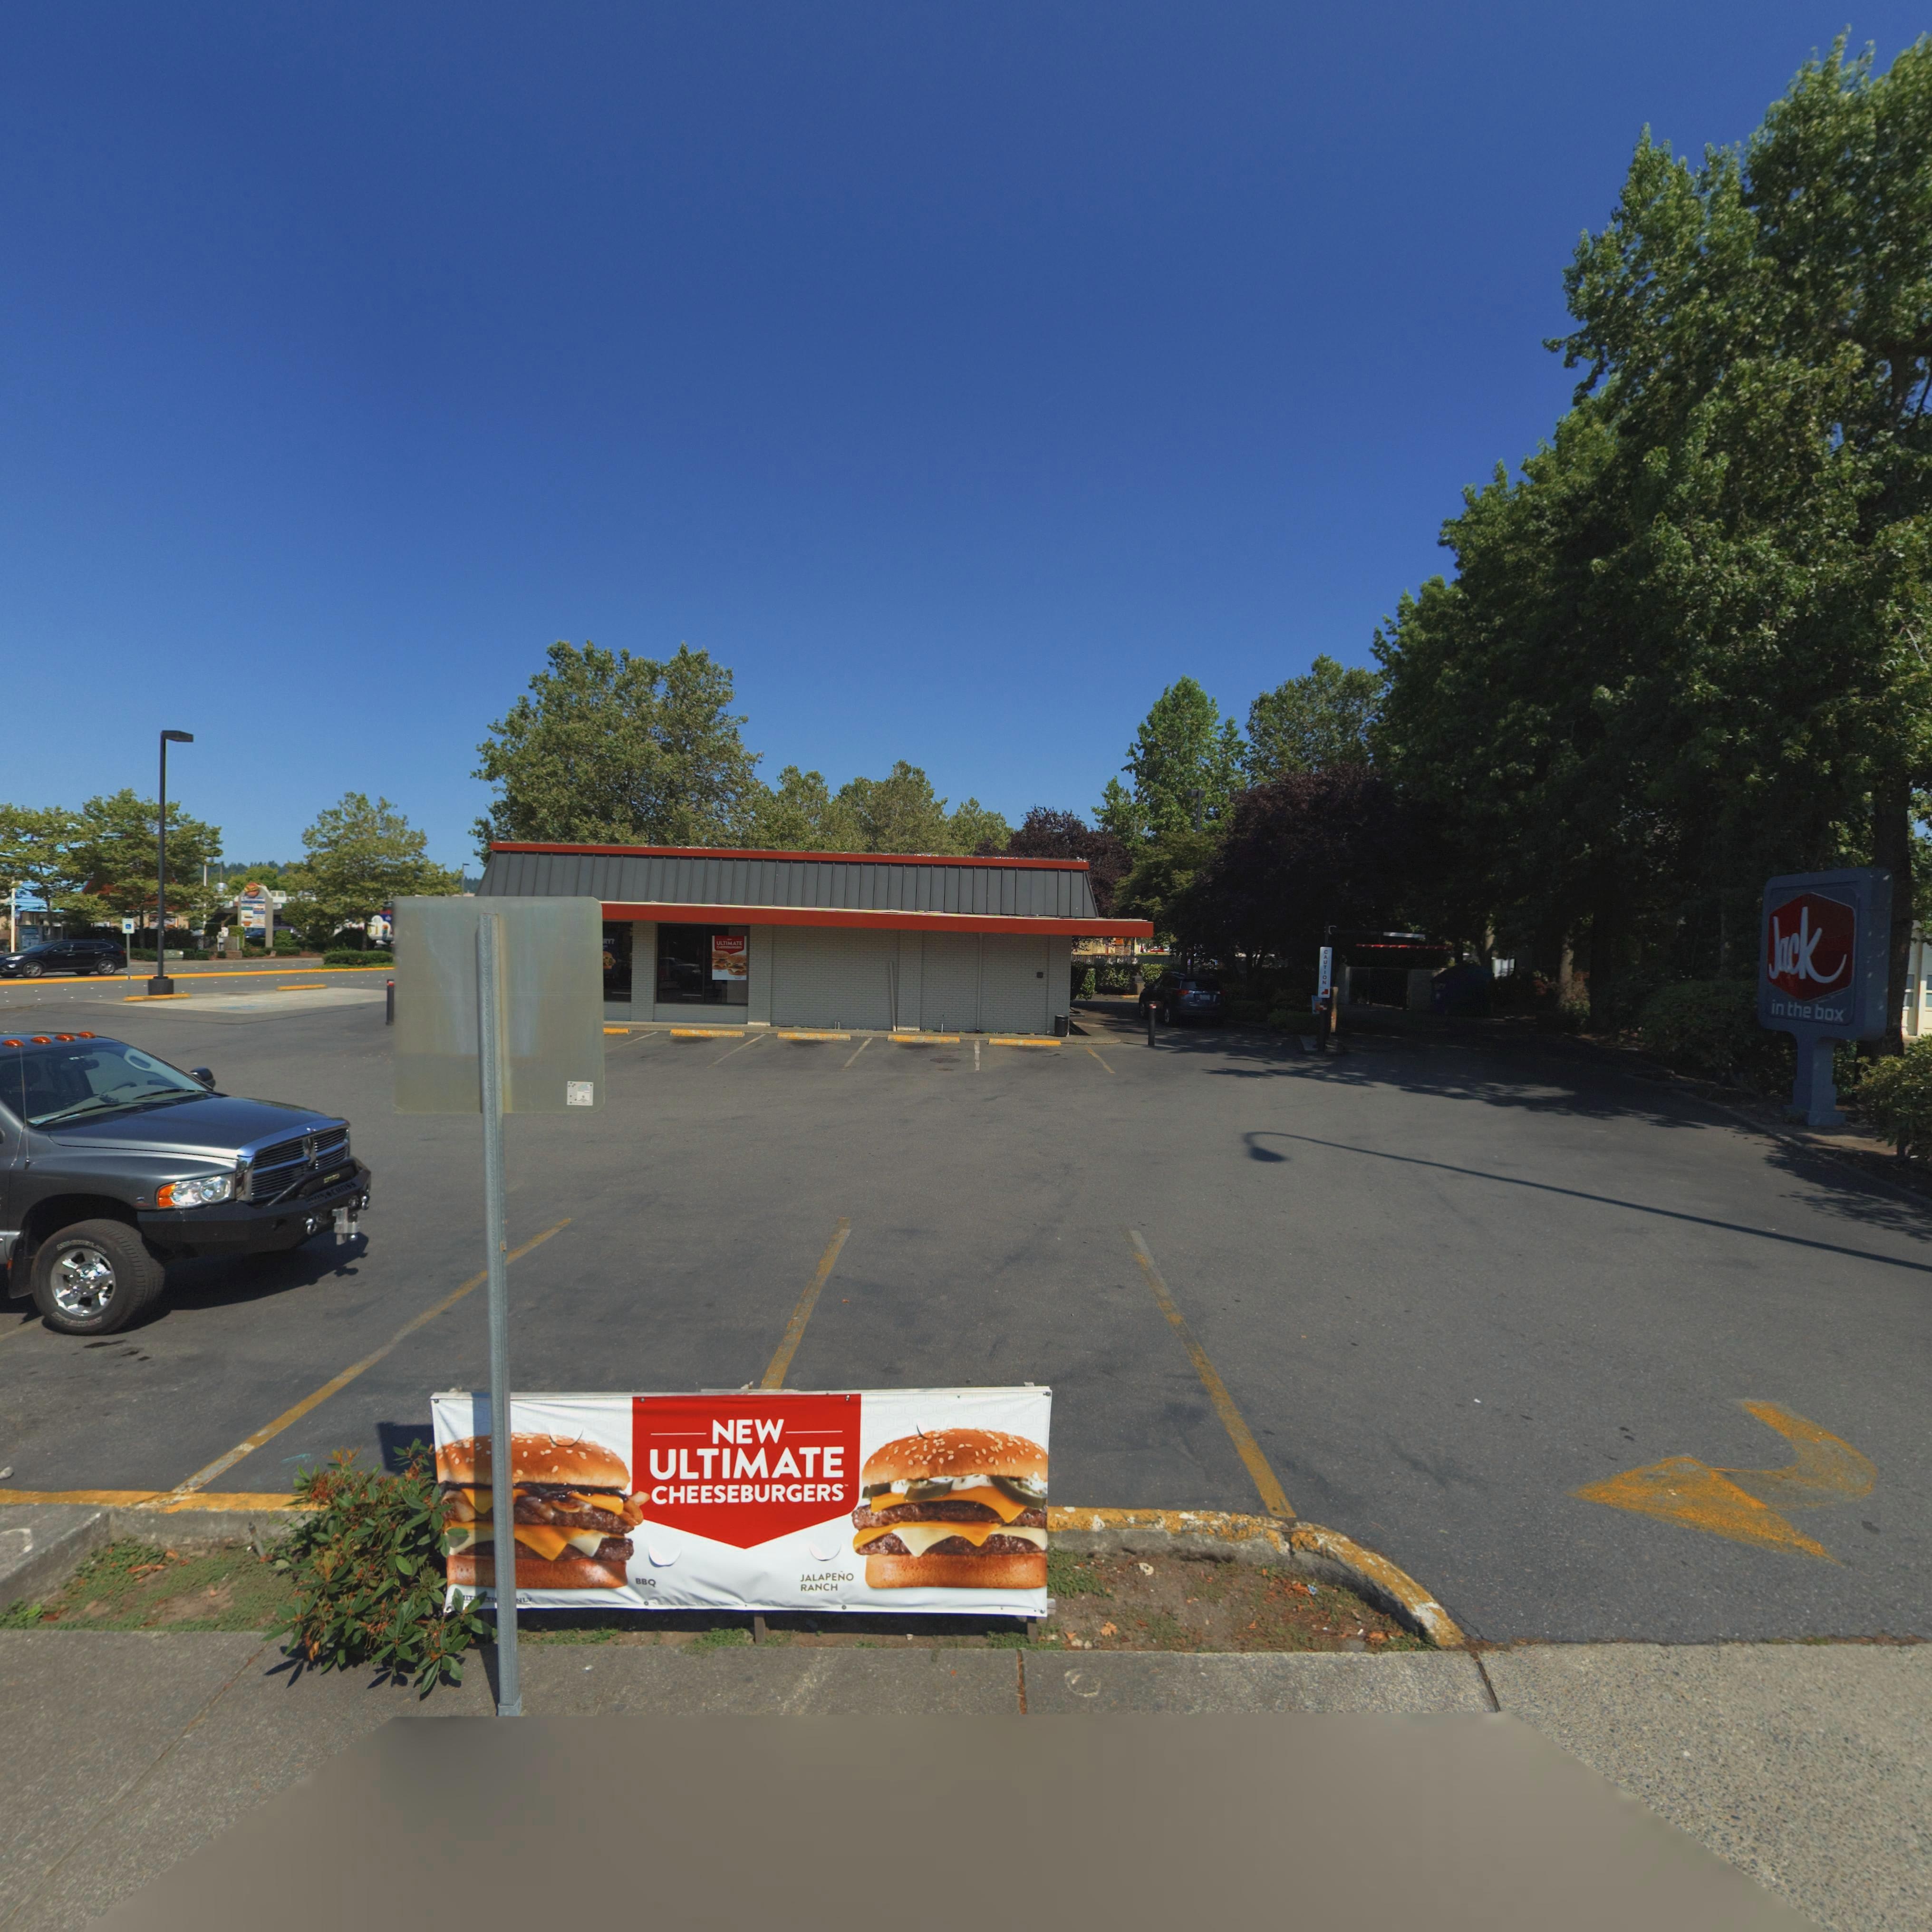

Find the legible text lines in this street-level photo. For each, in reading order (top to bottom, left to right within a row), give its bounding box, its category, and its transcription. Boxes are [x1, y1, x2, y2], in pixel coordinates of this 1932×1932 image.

[1768, 905, 1849, 984] BusinessName: Jack
[1771, 998, 1845, 1023] BusinessName: in the box